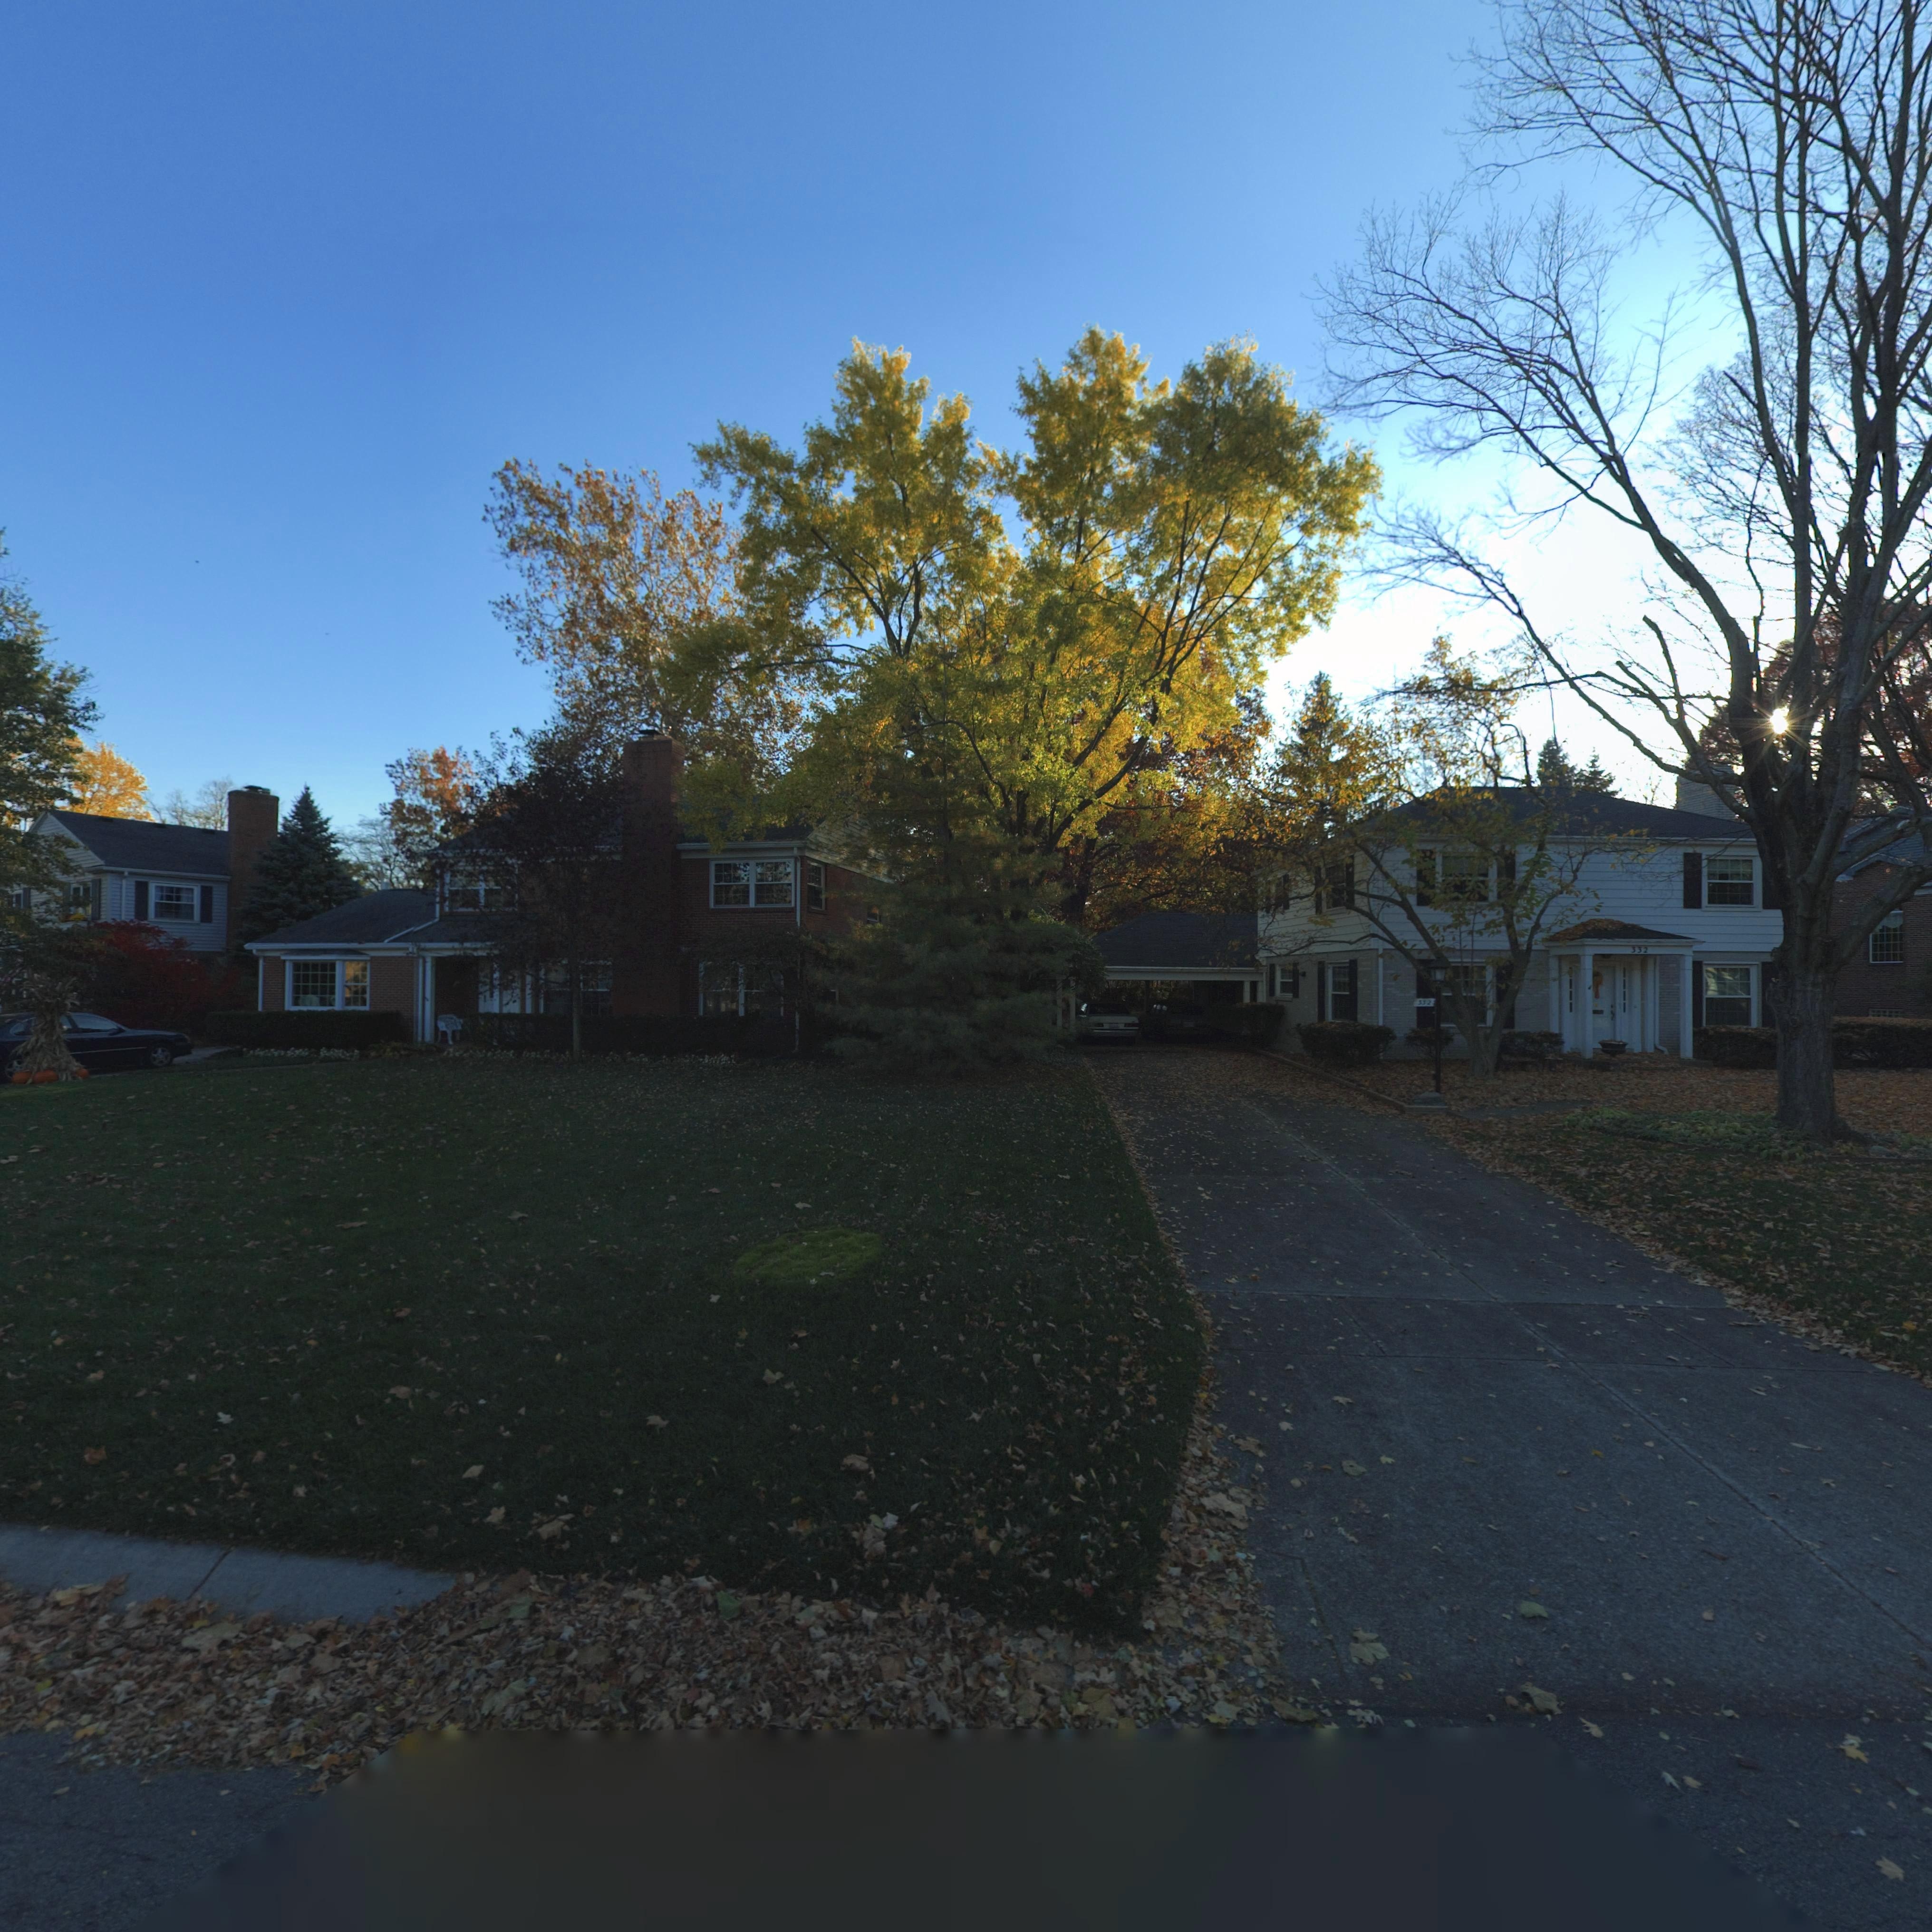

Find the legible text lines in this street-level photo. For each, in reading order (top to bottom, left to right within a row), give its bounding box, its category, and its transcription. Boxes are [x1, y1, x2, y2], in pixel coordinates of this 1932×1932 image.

[1630, 945, 1649, 954] StreetNumber: 332
[1417, 999, 1432, 1006] StreetNumber: 332